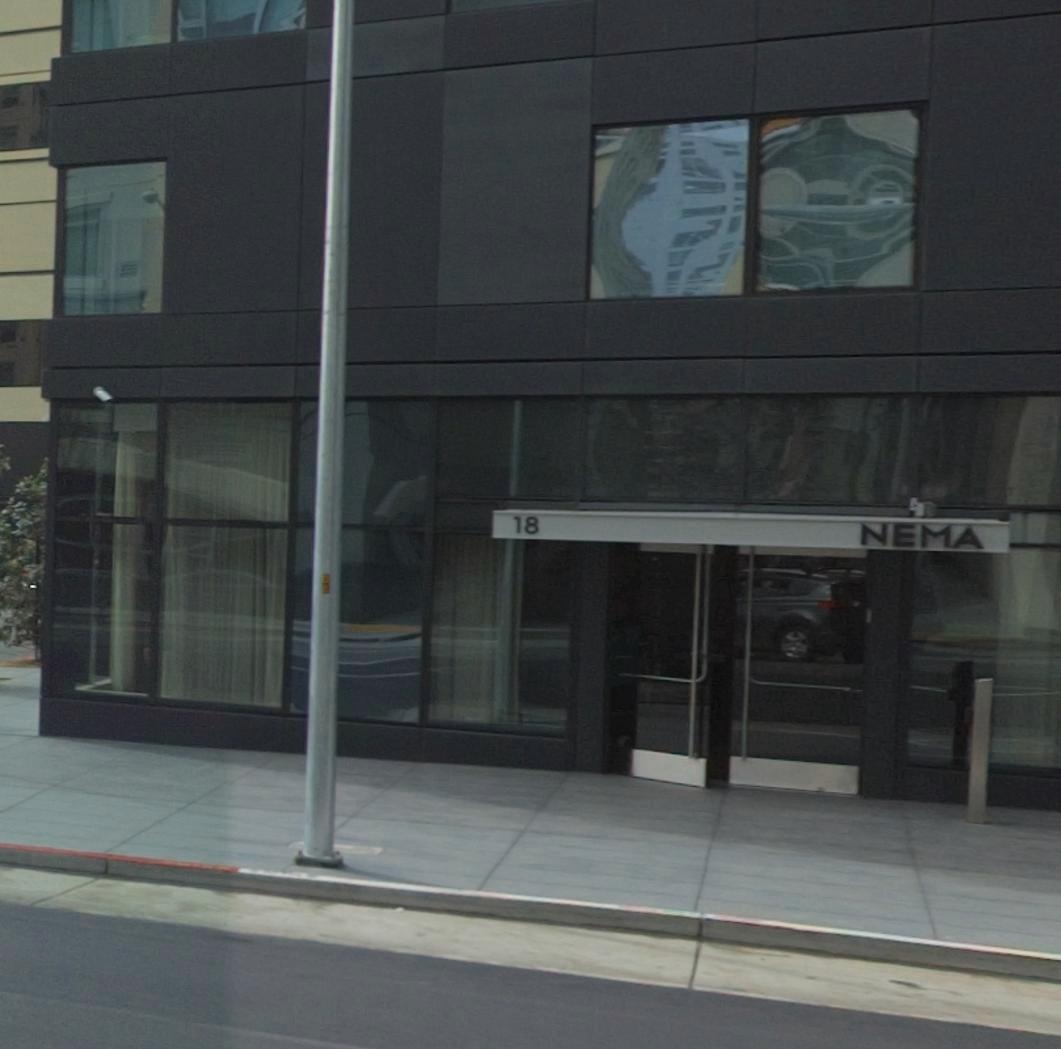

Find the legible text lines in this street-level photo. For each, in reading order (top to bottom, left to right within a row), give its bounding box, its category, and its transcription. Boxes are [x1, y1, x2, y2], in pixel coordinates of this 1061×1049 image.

[511, 514, 541, 537] StreetNumber: 18
[858, 519, 989, 552] None: NEMA